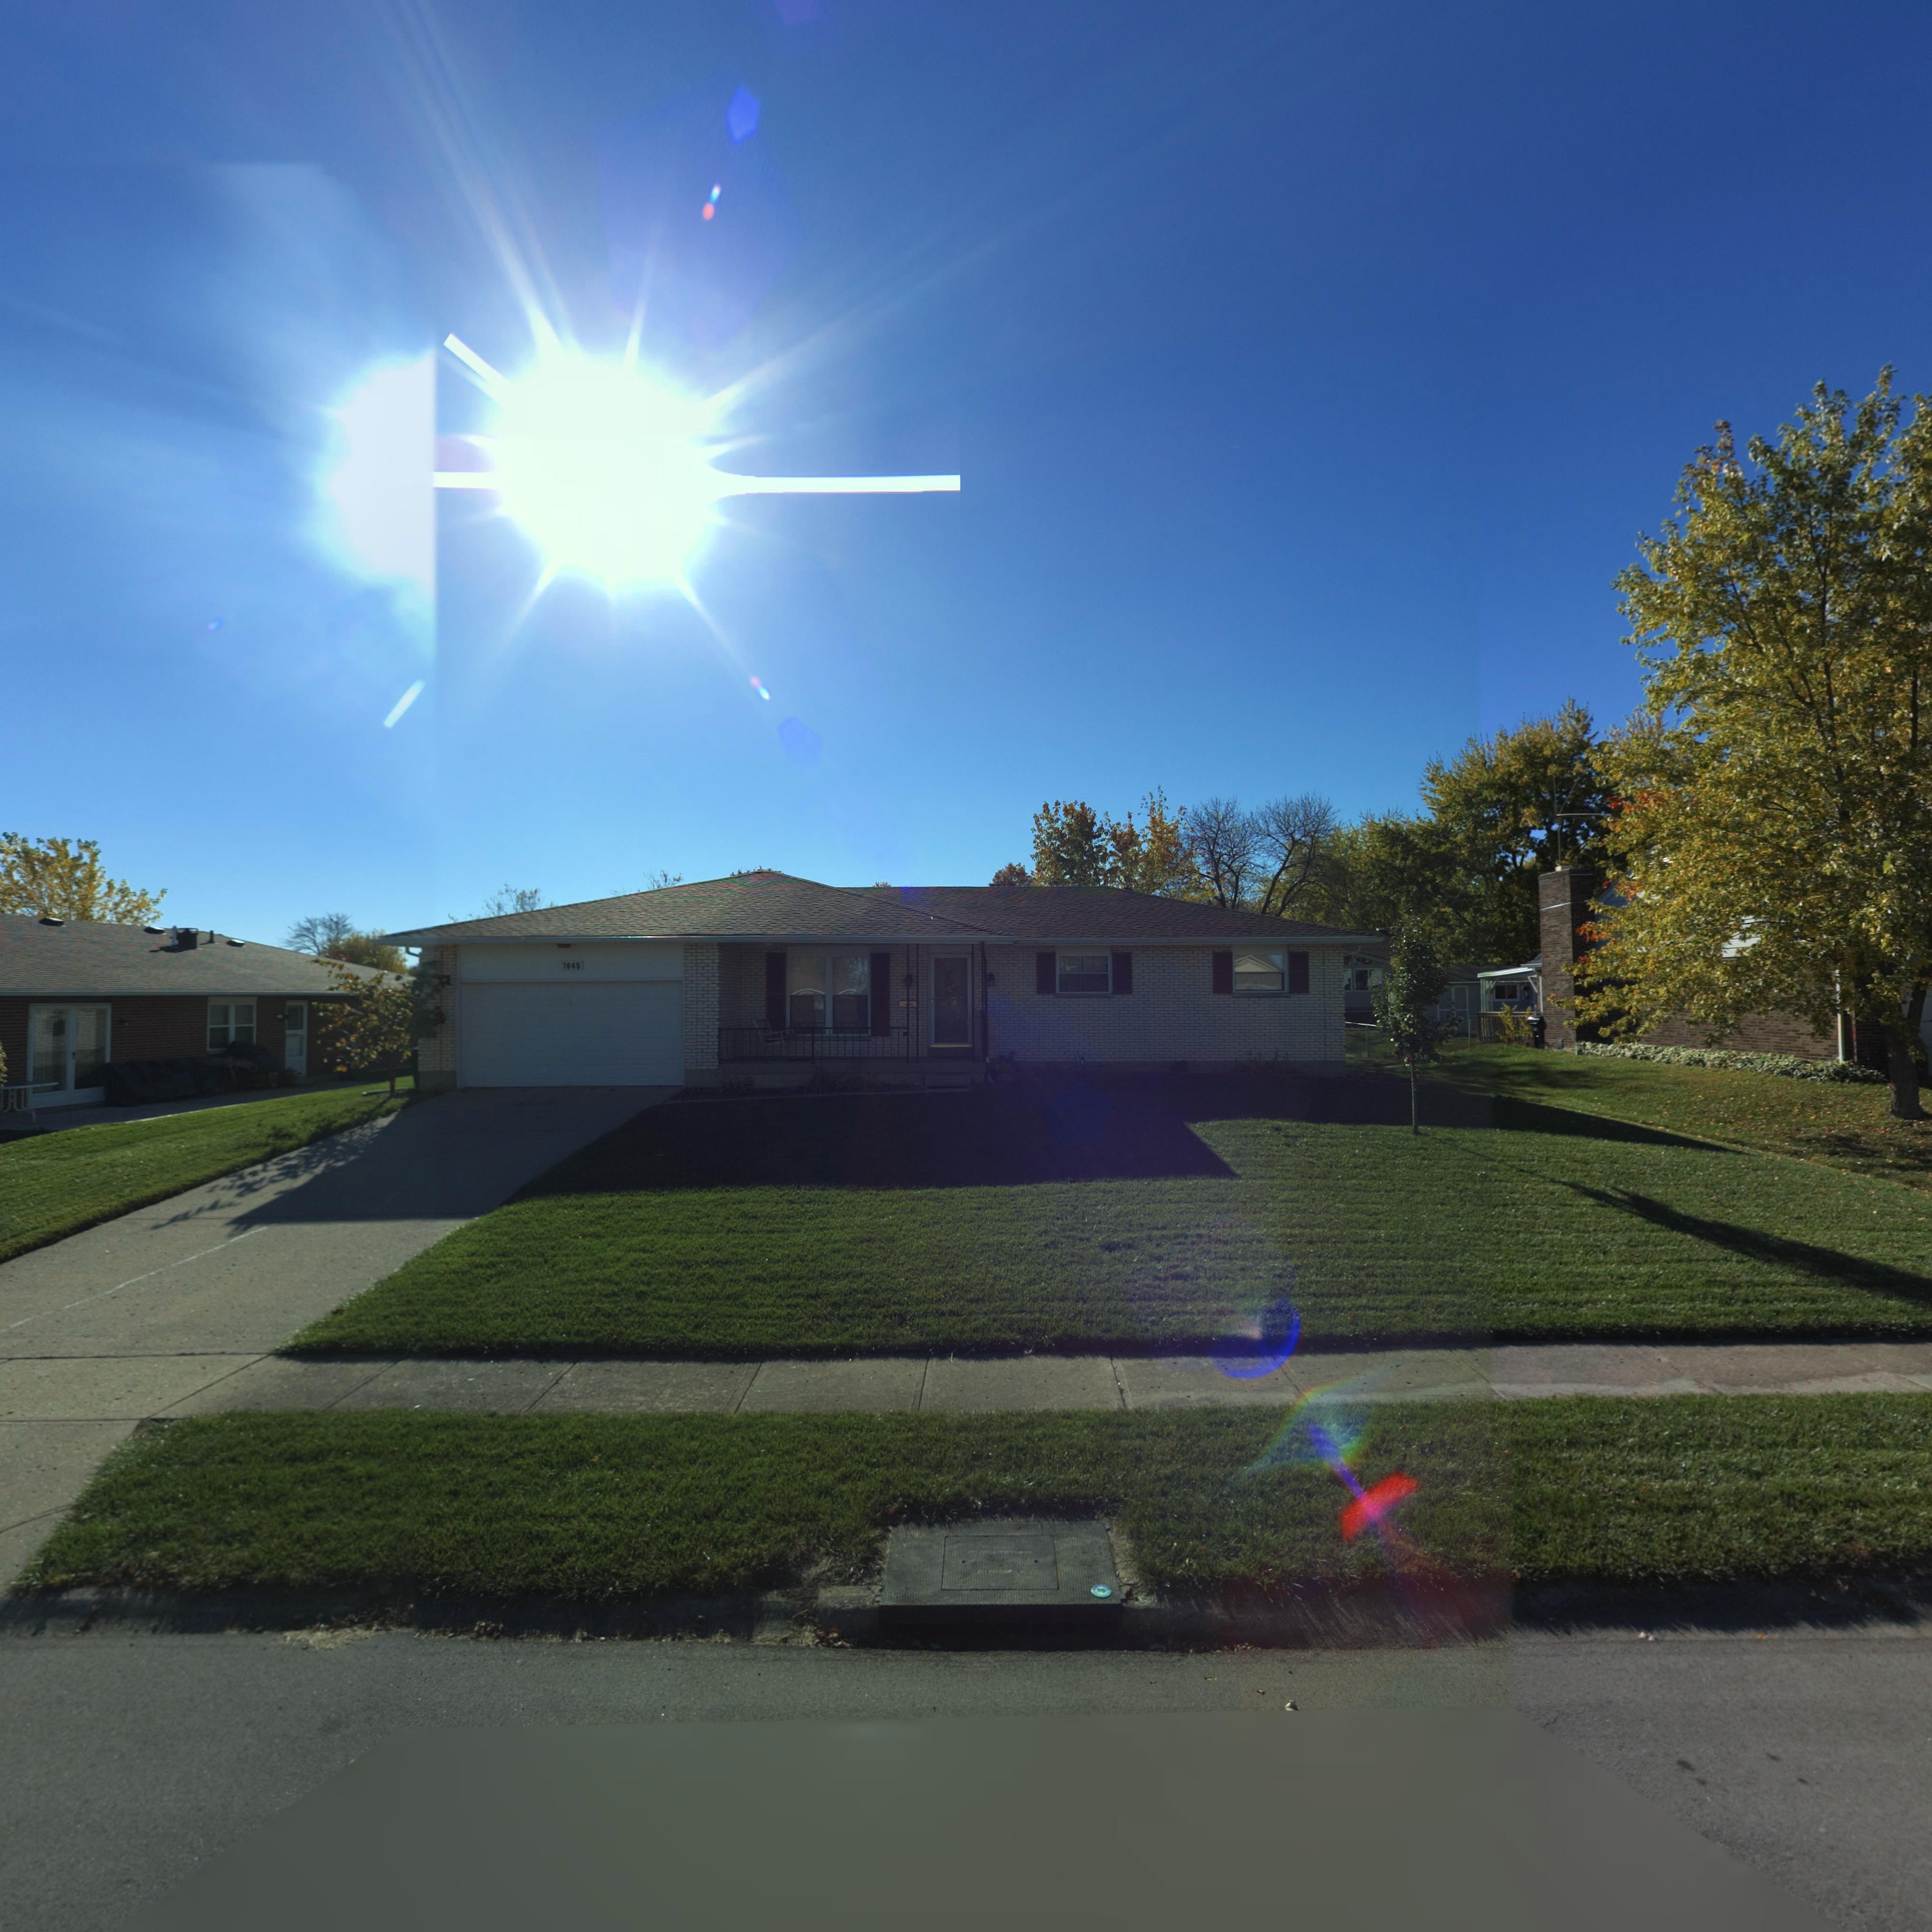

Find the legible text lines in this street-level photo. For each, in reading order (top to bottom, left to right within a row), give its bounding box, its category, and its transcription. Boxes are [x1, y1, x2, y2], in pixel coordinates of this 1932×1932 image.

[562, 962, 580, 969] StreetNumber: 7045